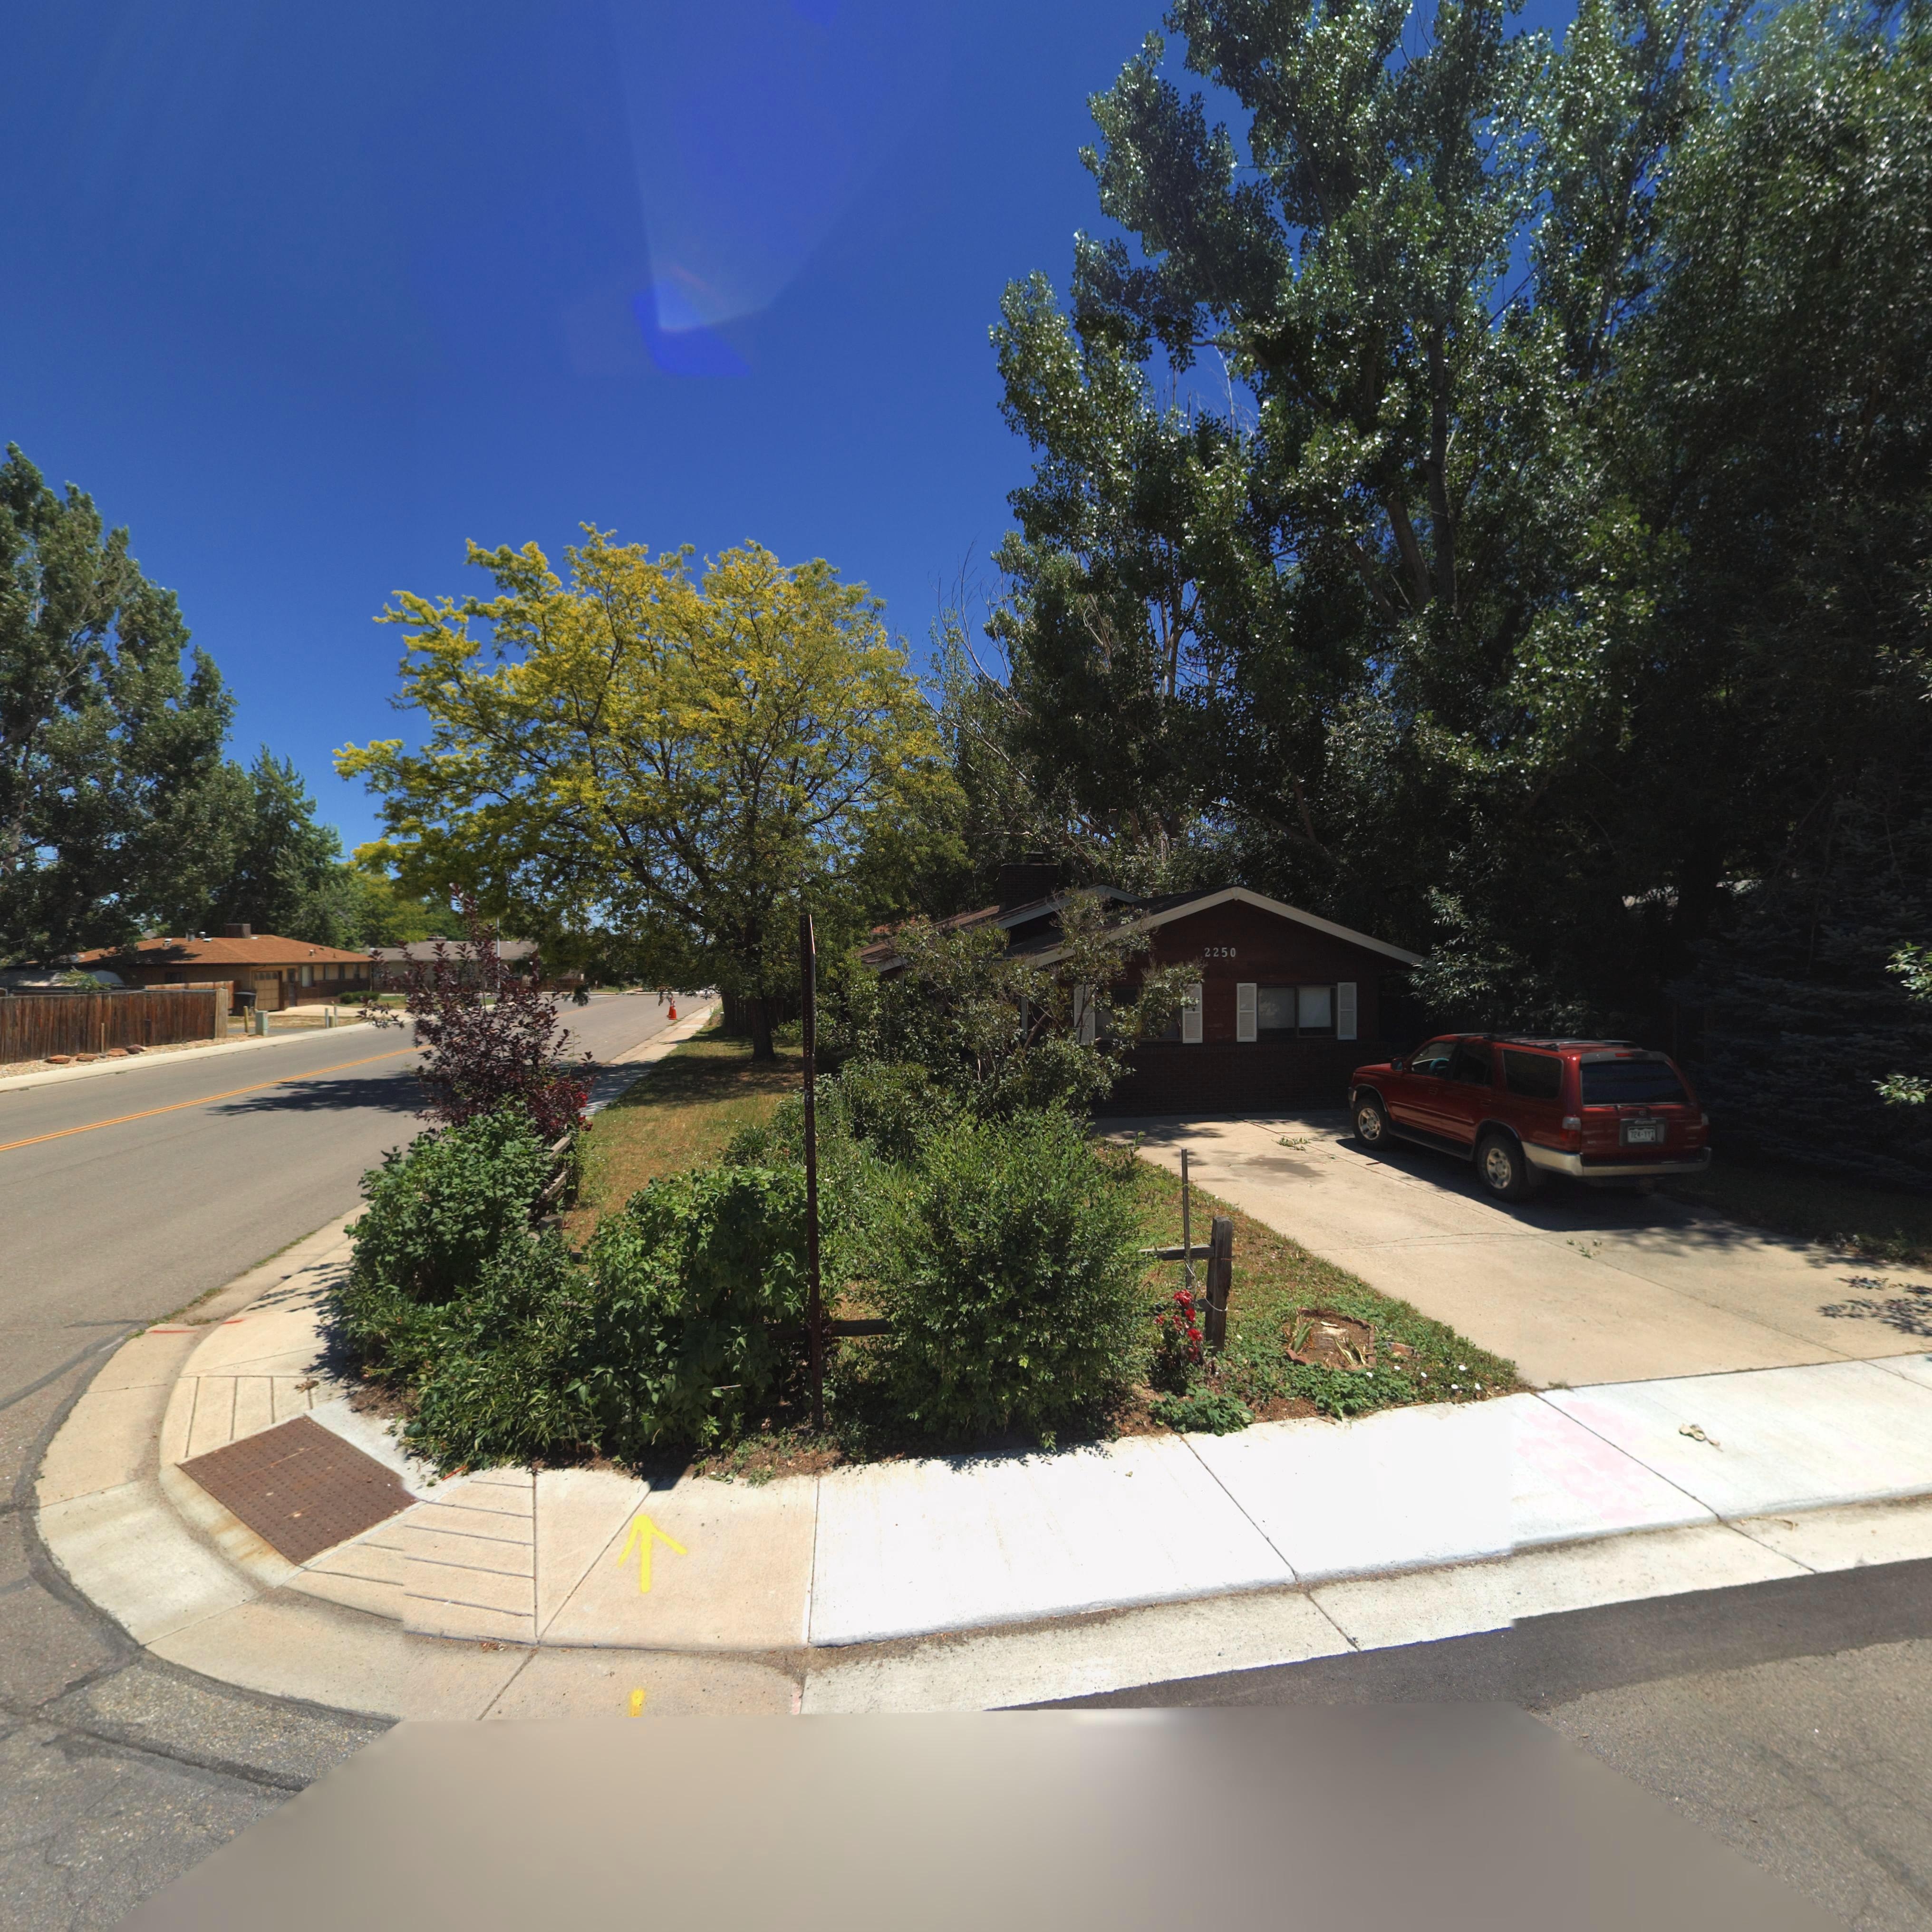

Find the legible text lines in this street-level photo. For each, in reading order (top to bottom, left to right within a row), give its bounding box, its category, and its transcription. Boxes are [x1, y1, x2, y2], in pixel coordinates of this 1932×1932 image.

[1203, 947, 1236, 958] StreetNumber: 2250